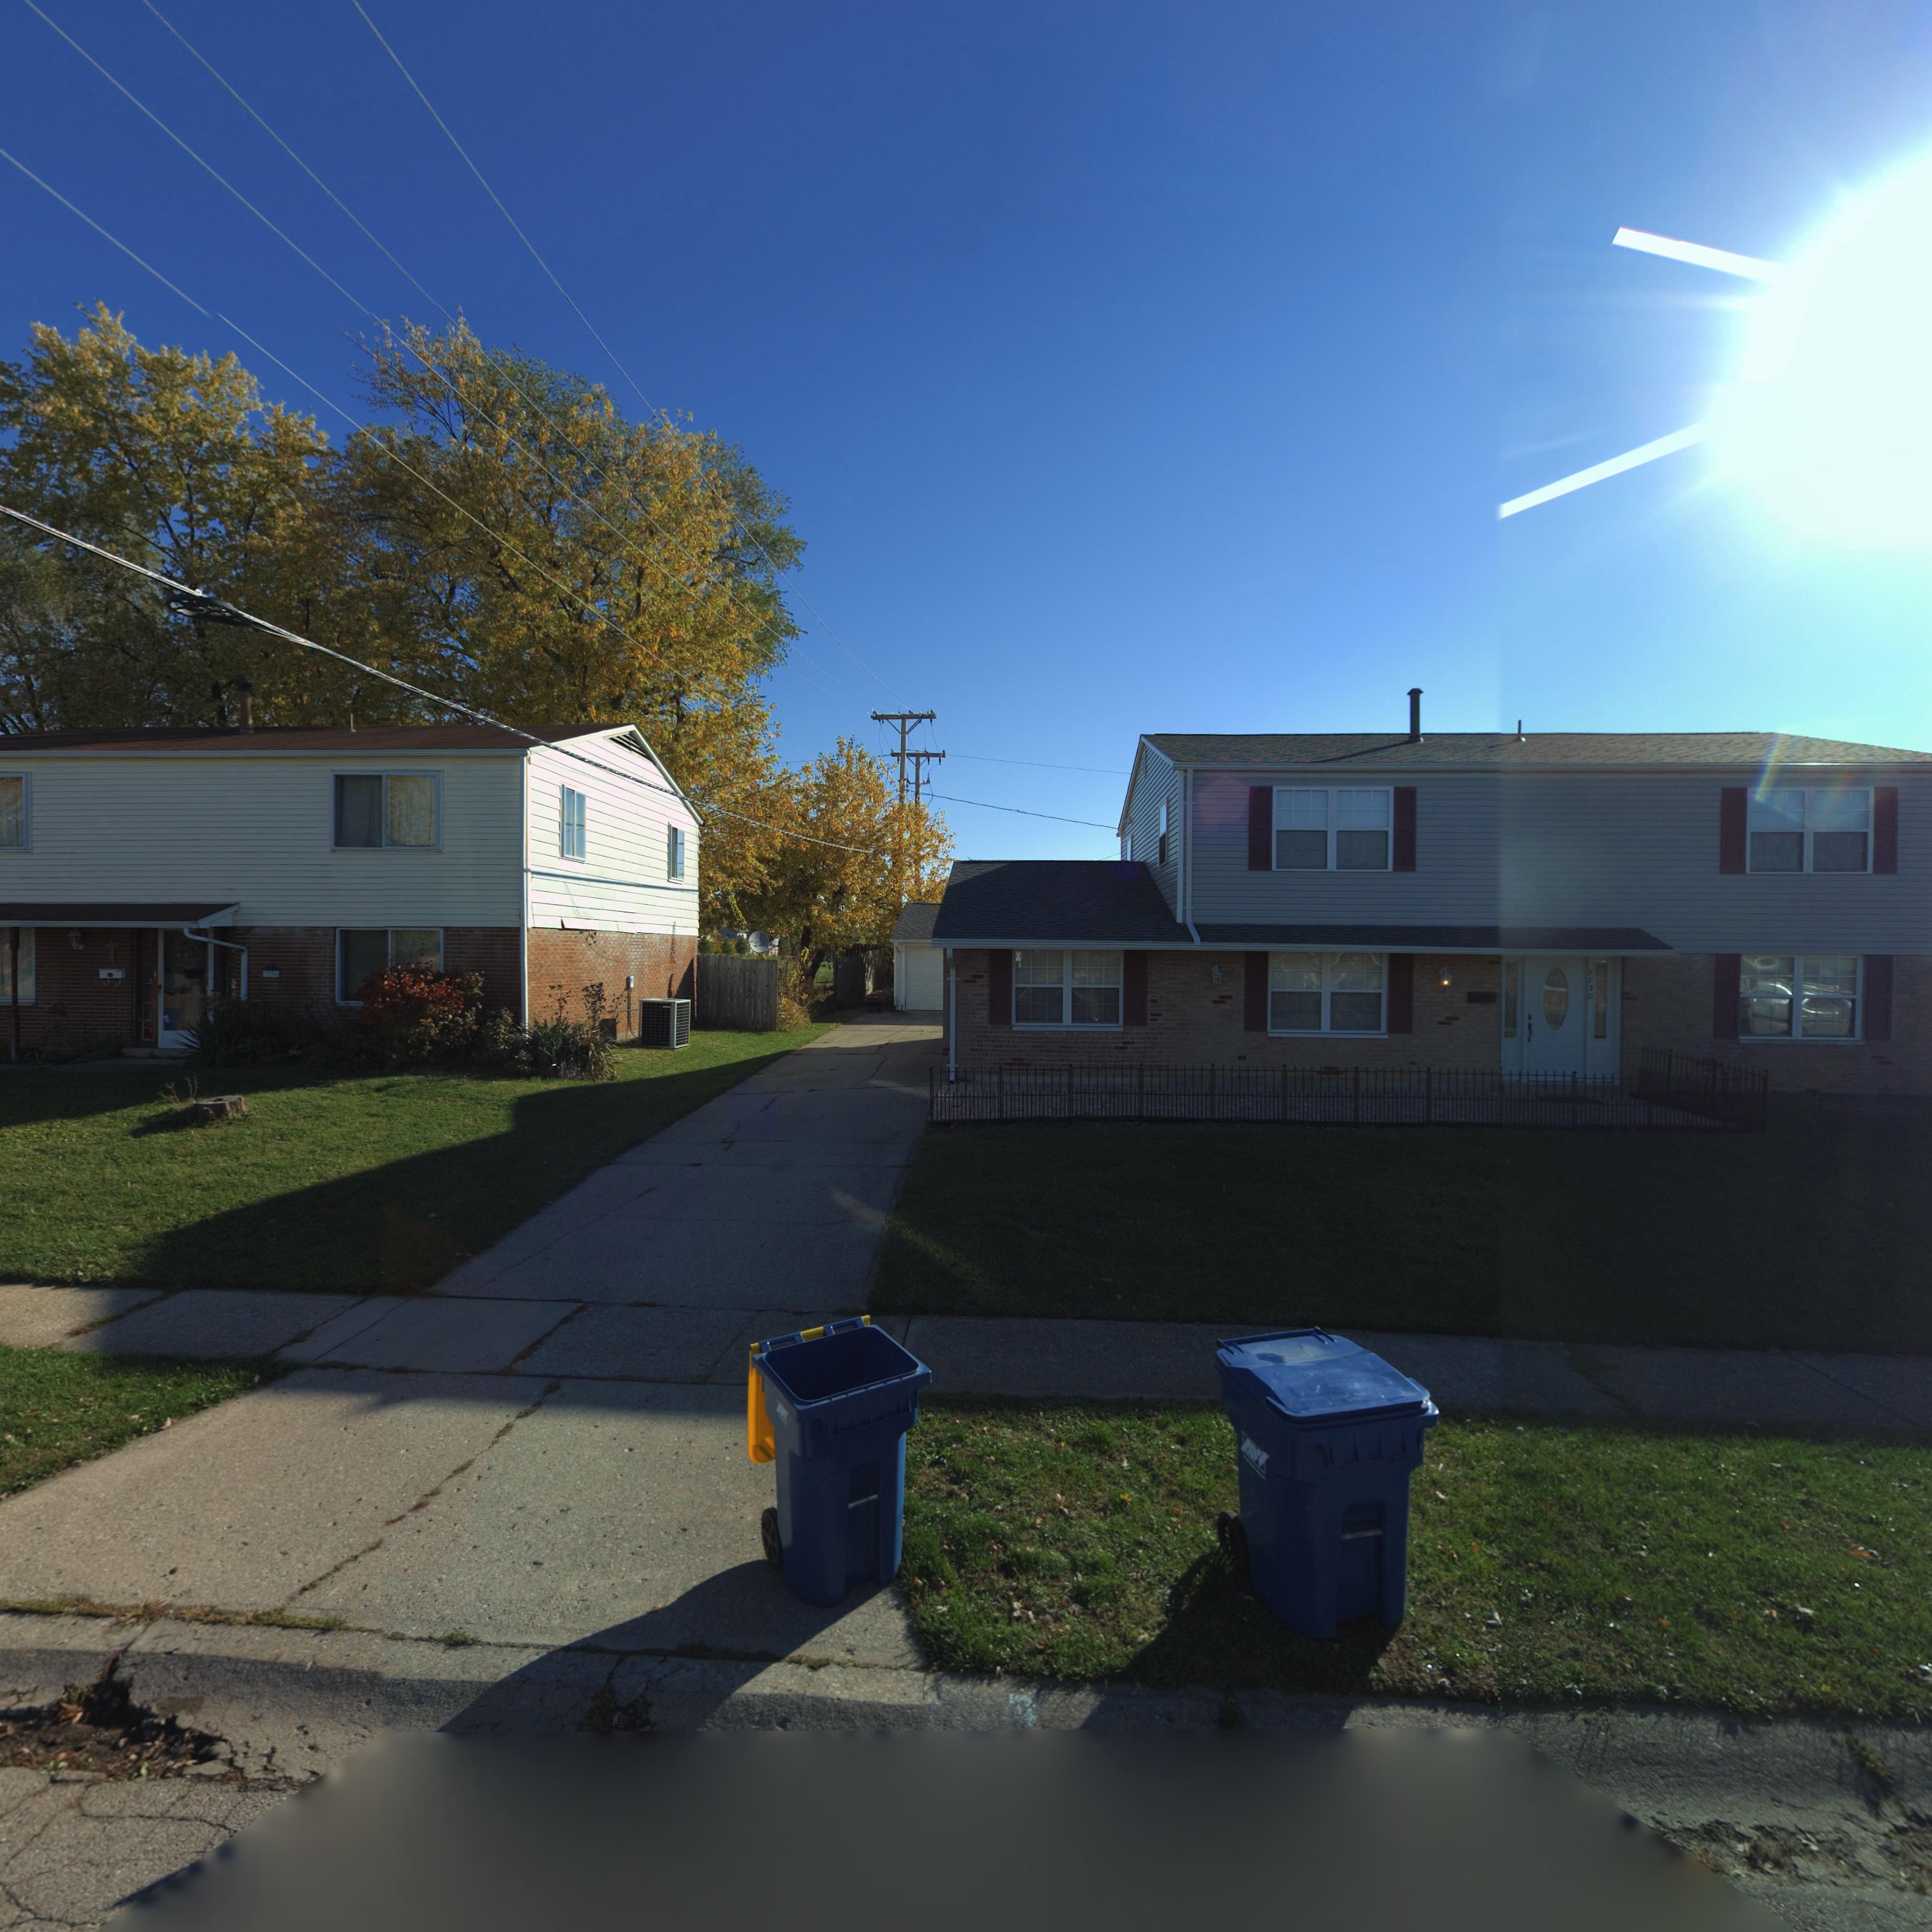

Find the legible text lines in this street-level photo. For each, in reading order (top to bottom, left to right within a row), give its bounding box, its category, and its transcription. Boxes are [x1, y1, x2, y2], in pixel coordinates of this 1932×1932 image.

[264, 971, 278, 977] StreetNumber: 7736
[1587, 968, 1594, 1000] StreetNumber: 7730